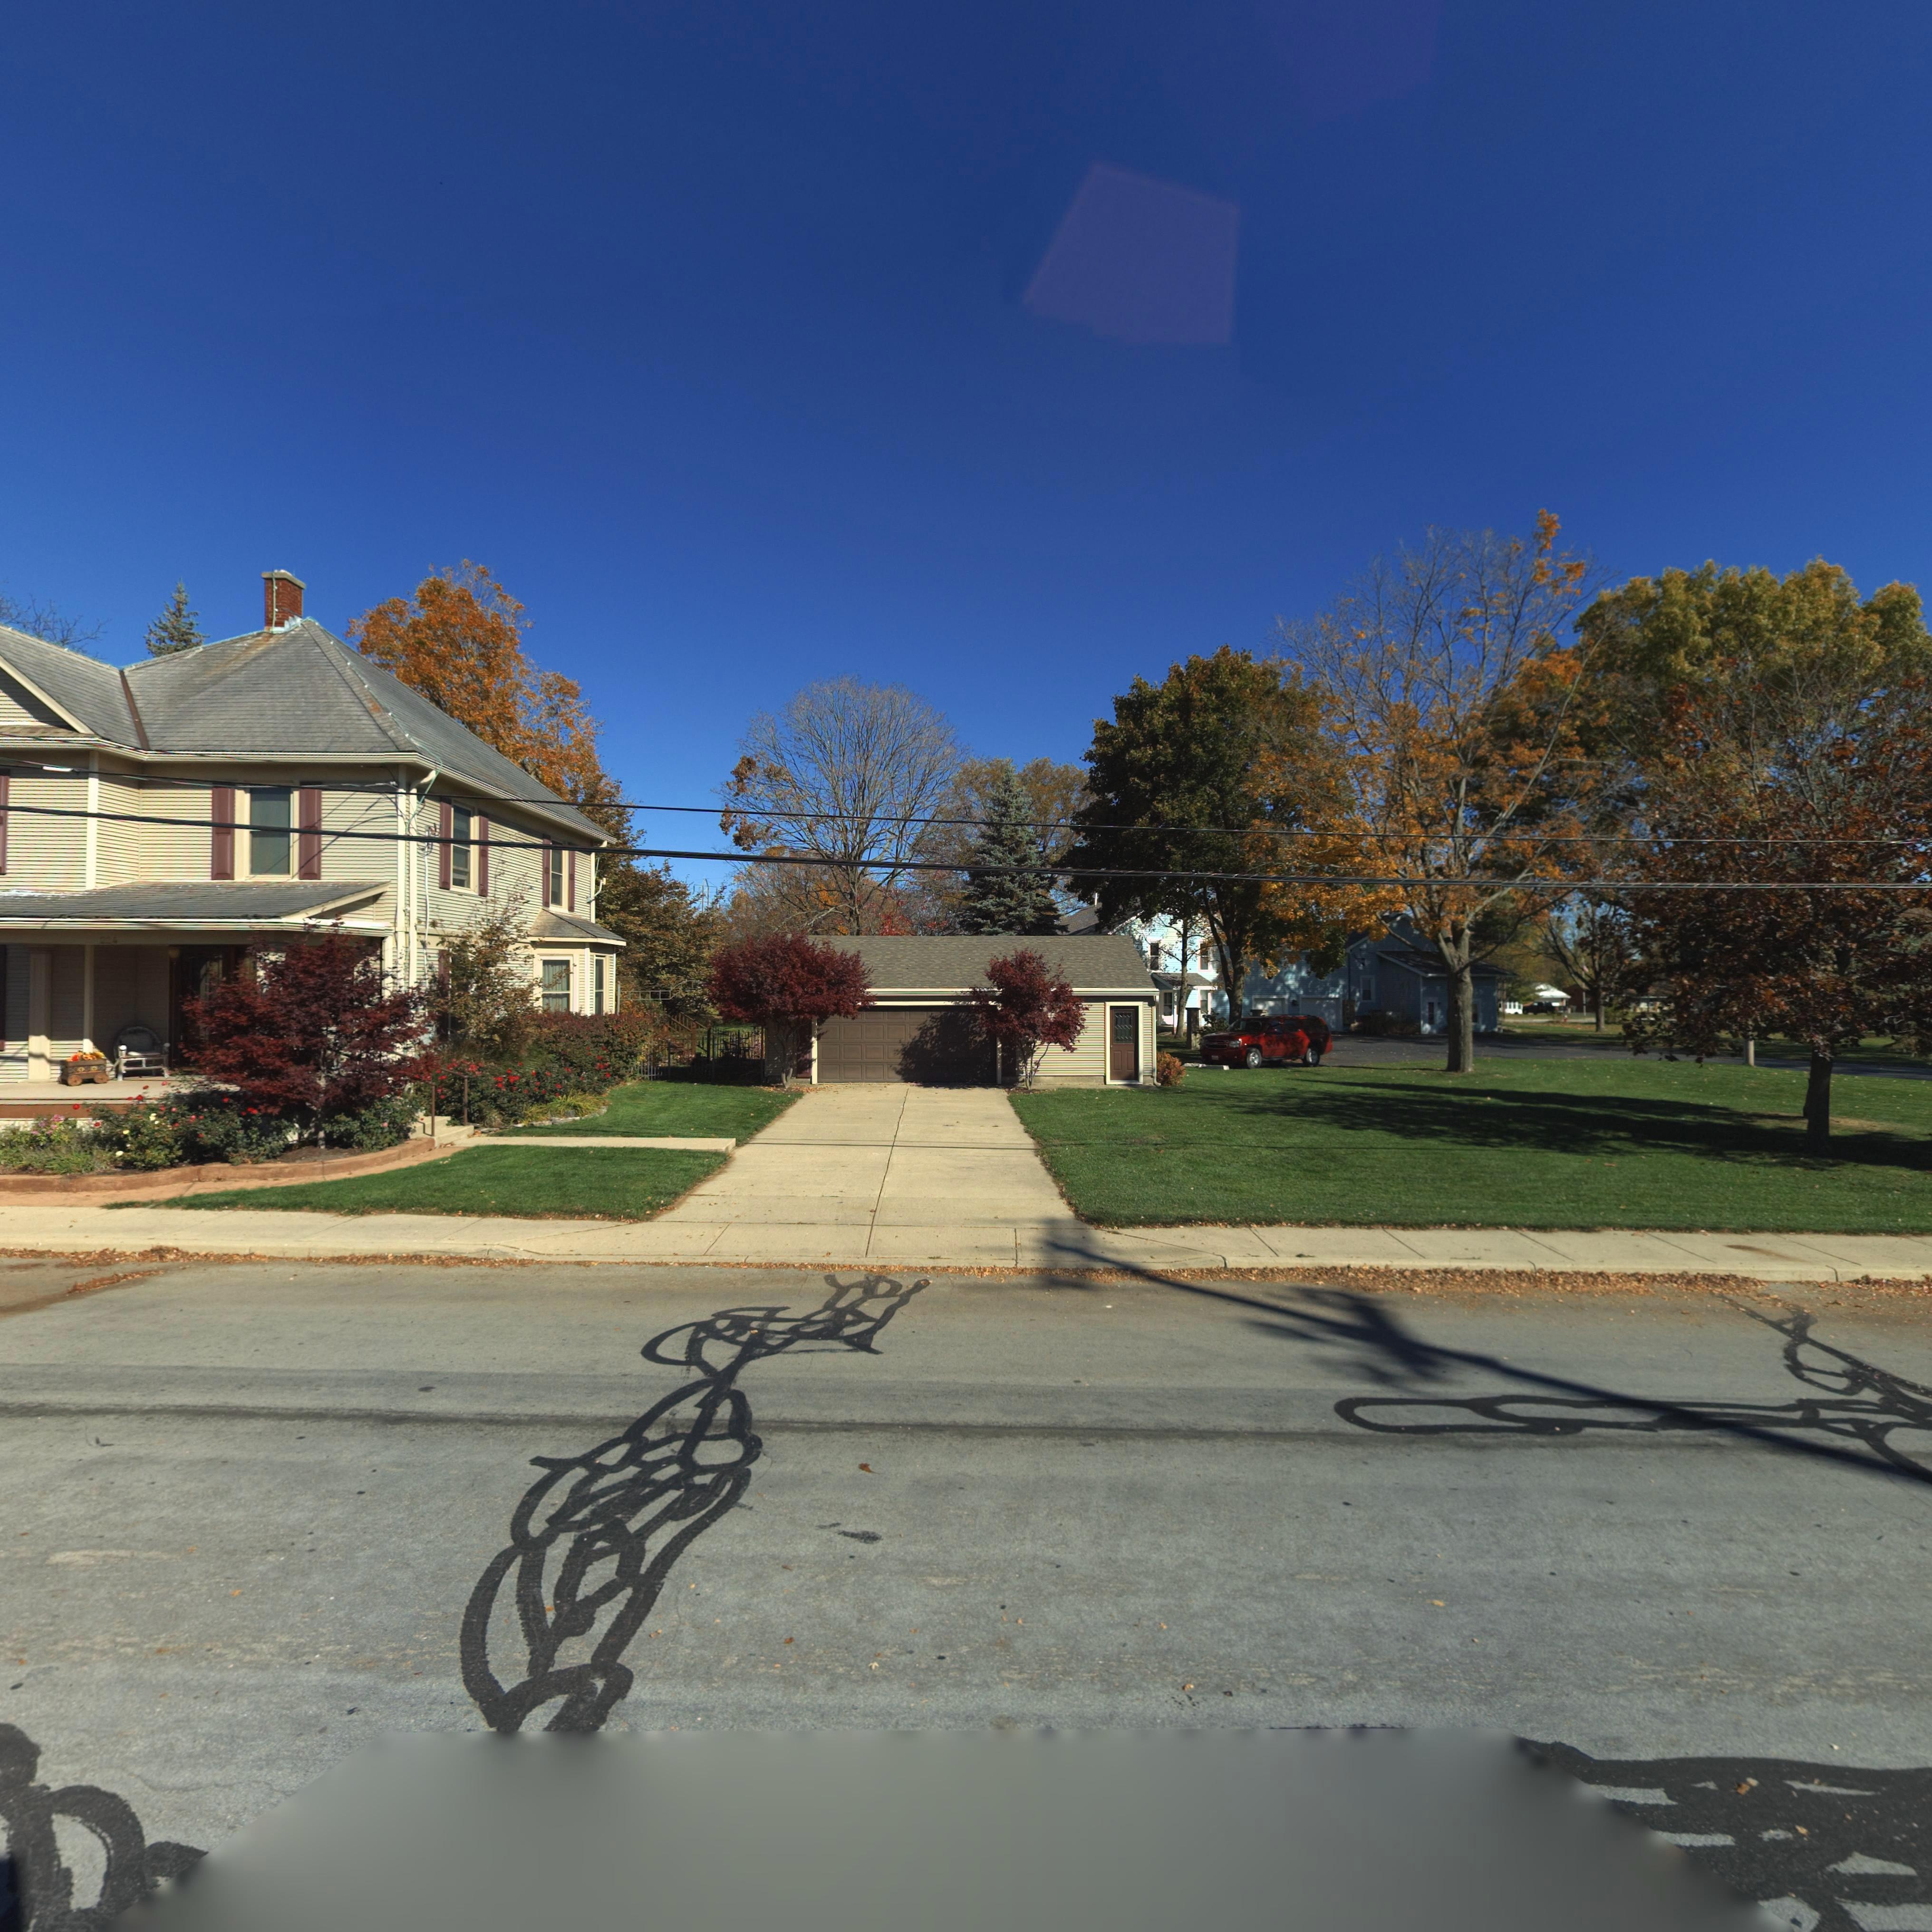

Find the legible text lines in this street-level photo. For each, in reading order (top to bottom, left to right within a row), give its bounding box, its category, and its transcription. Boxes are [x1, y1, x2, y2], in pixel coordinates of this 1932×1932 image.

[98, 936, 118, 945] StreetNumber: 224